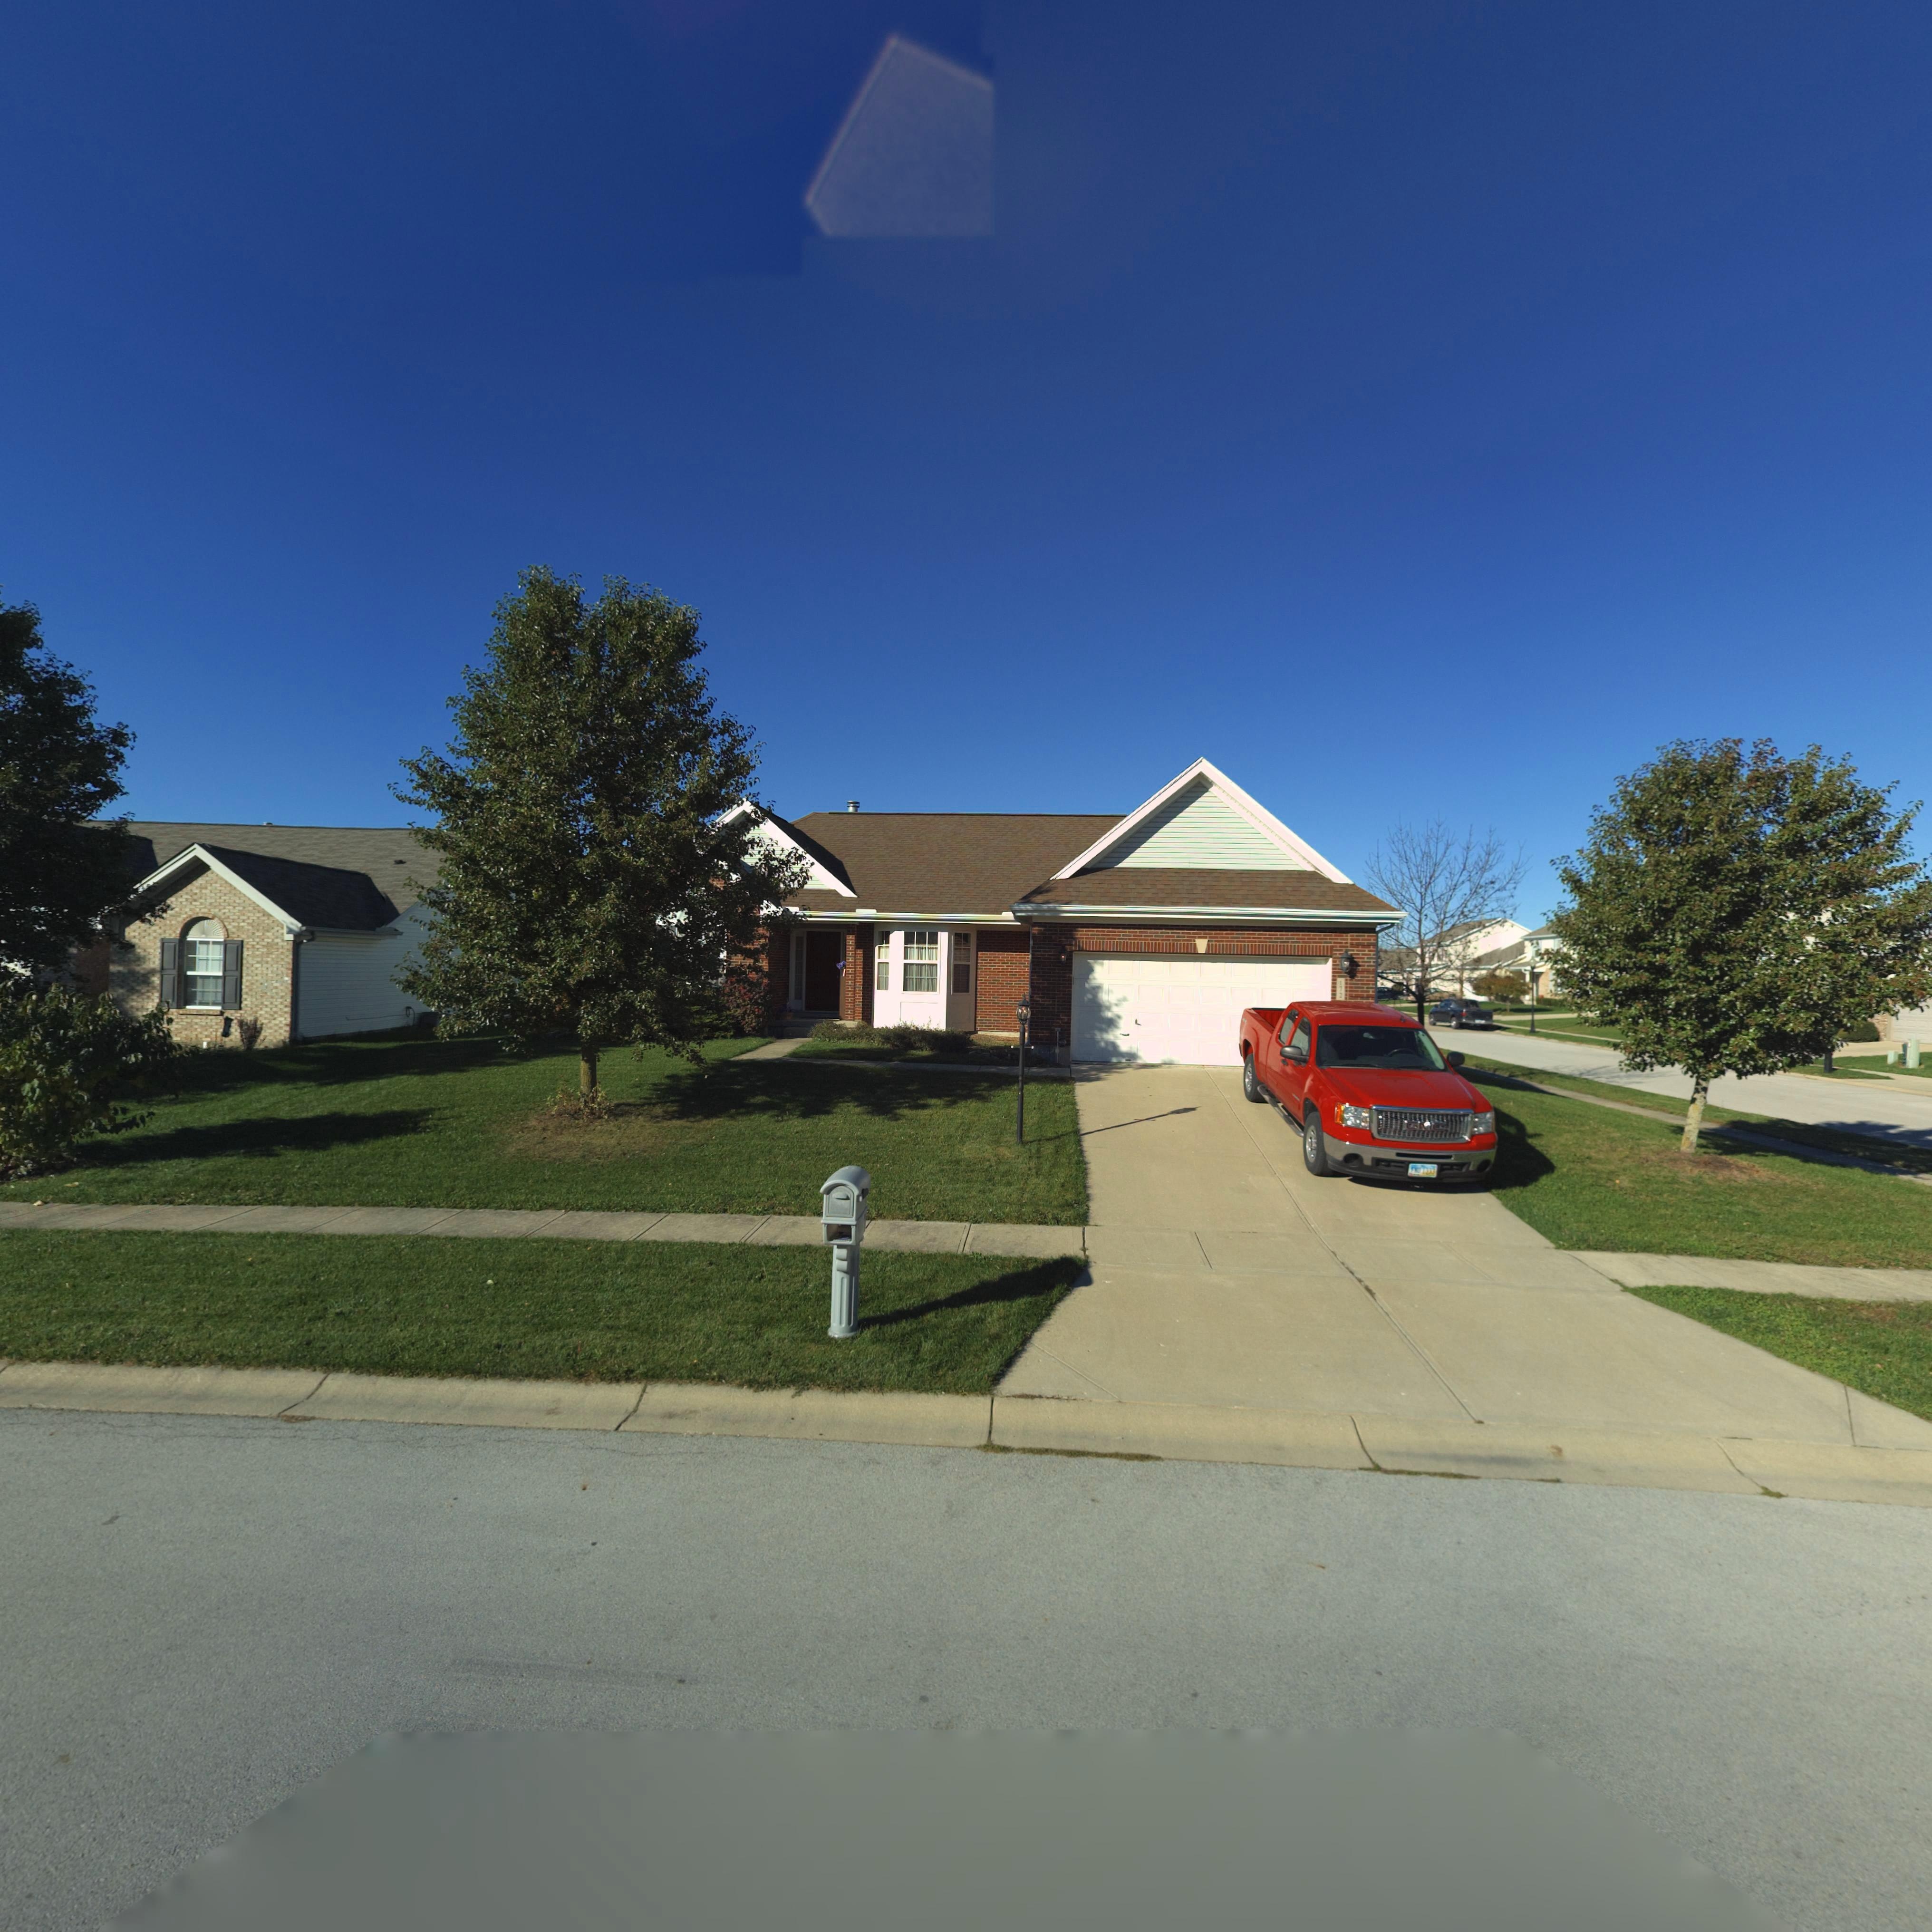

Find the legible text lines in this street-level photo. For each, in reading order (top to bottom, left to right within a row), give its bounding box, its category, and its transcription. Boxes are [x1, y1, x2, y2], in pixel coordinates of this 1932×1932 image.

[1337, 979, 1344, 1000] StreetNumber: 172